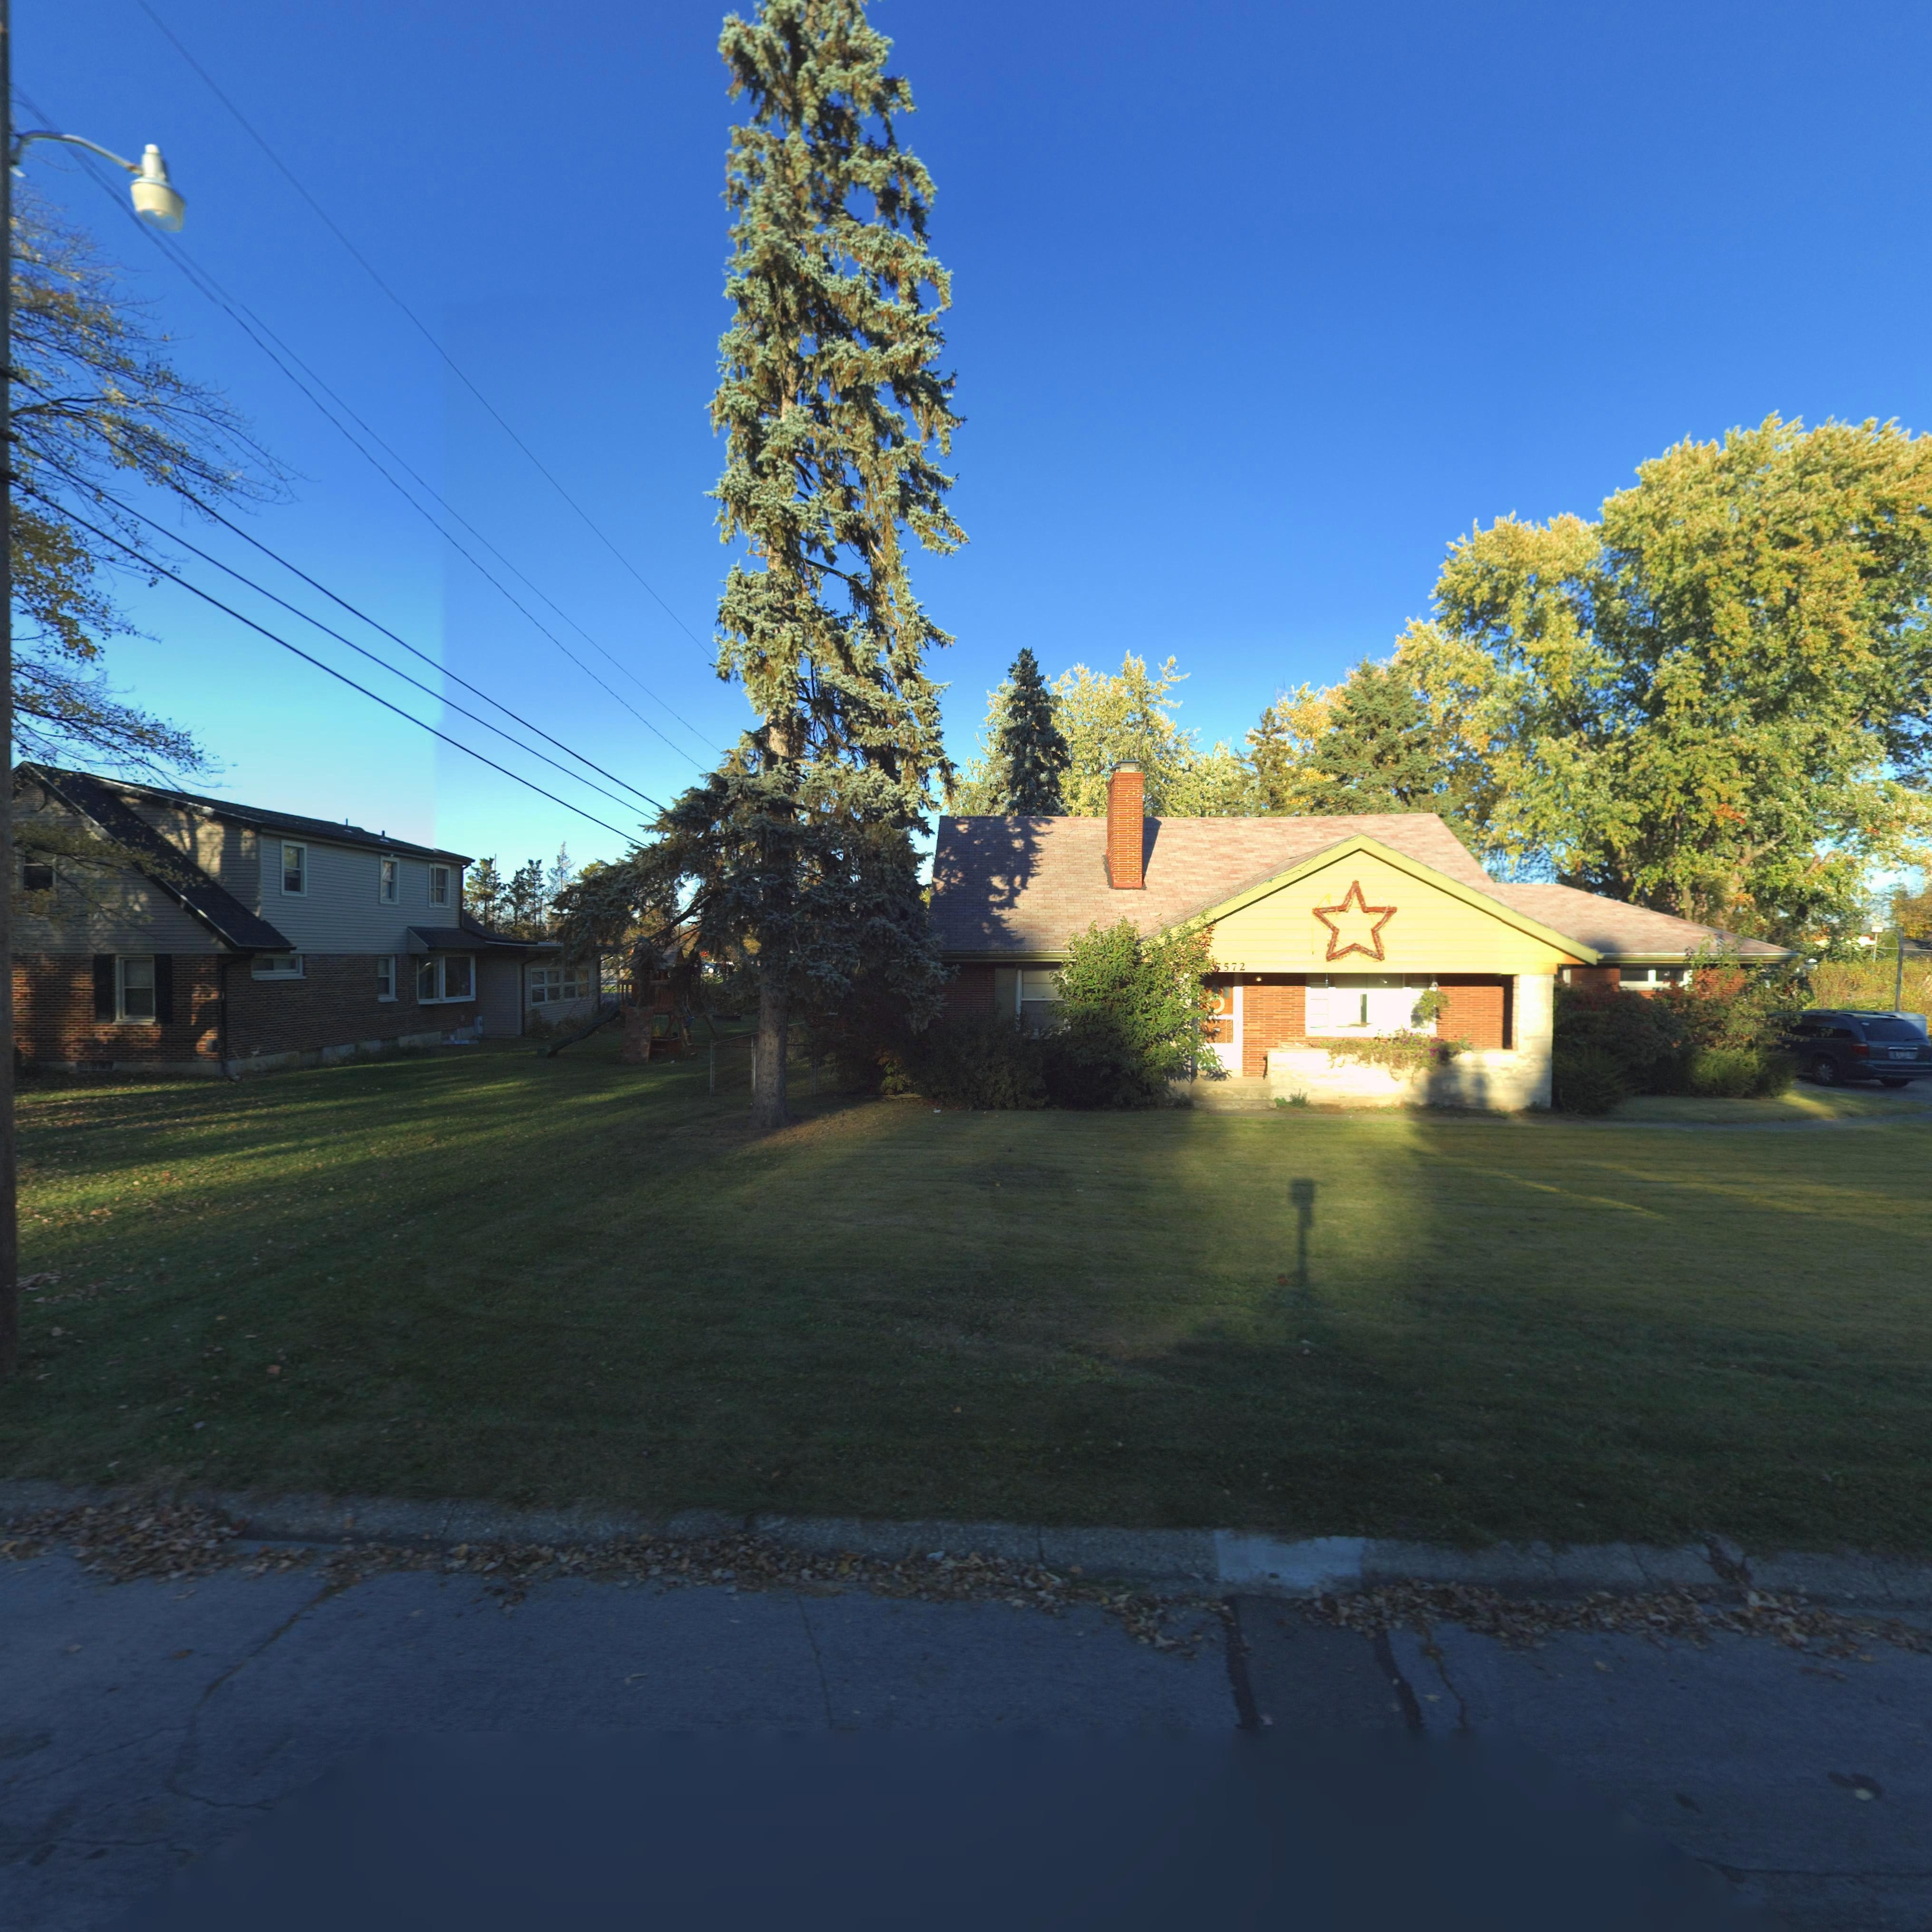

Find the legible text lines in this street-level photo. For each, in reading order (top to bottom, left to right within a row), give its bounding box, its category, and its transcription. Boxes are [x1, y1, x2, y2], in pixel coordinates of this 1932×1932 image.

[1215, 961, 1247, 972] StreetNumber: 7572